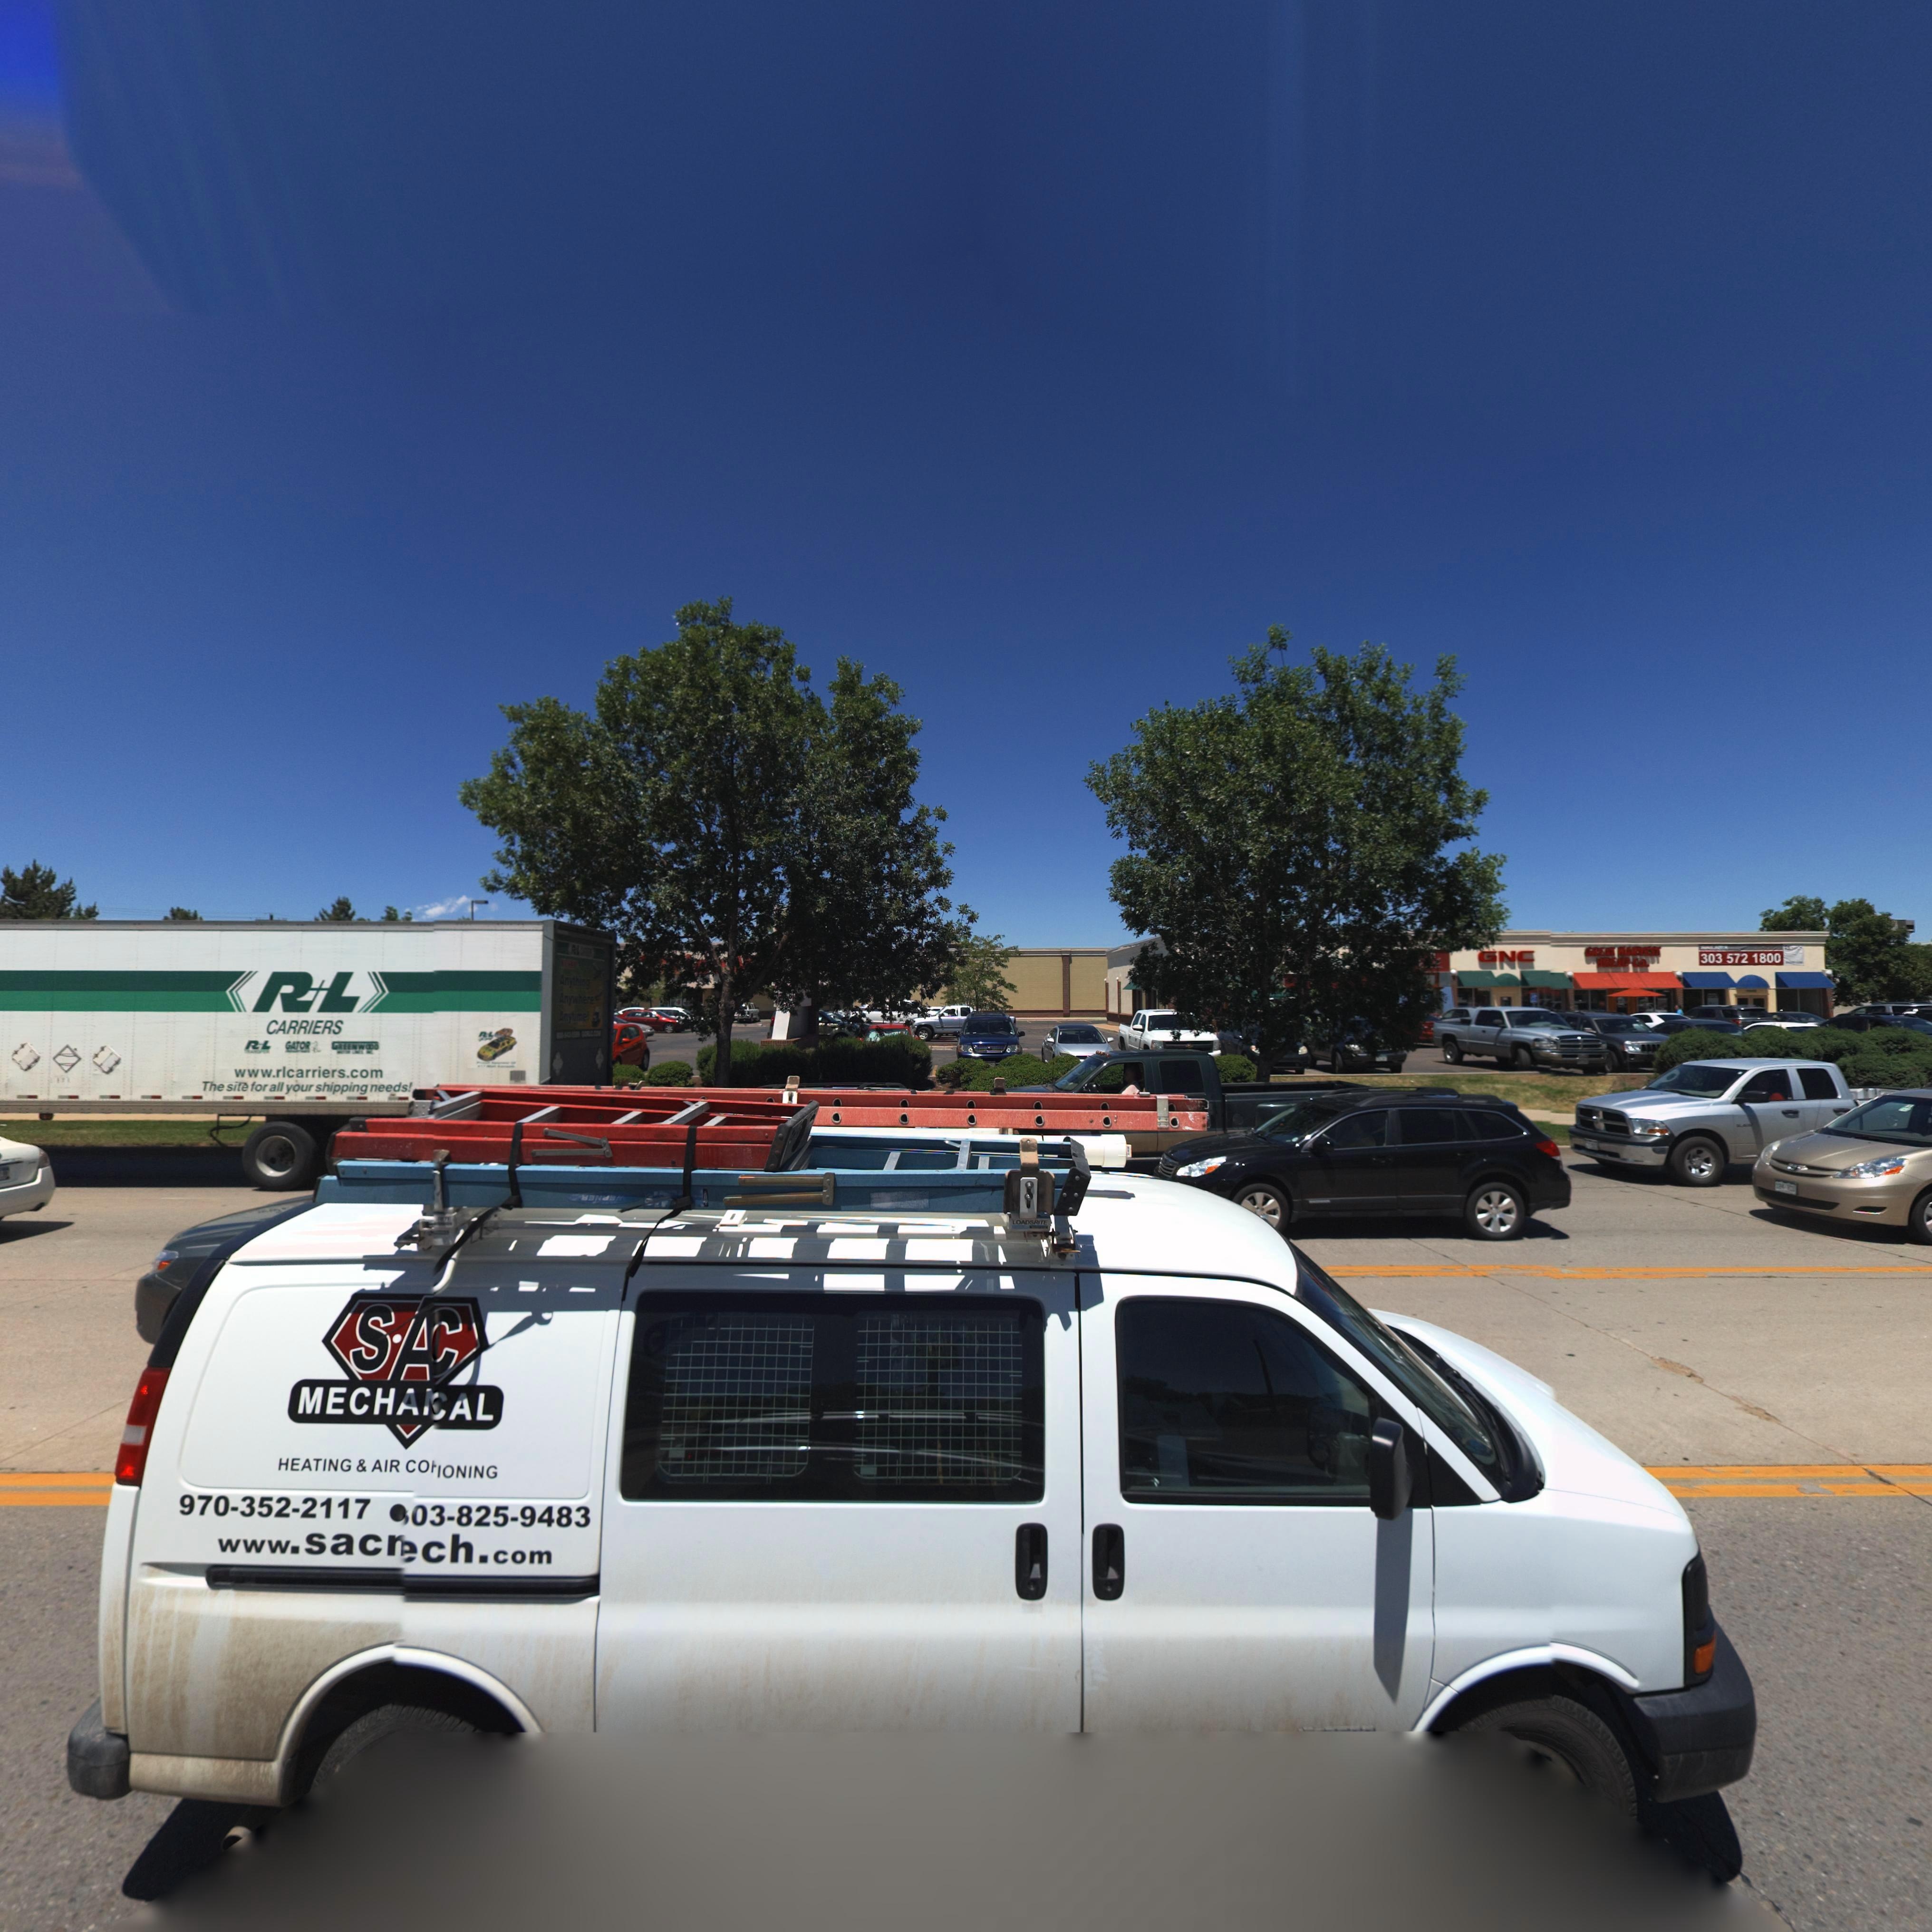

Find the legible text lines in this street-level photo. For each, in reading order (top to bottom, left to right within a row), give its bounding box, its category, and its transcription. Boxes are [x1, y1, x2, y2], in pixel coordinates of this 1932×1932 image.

[1477, 950, 1536, 962] BusinessName: GNC
[1584, 946, 1661, 956] BusinessName: GREAT HARVEST
[1596, 956, 1651, 967] BusinessName: BREAD Co.